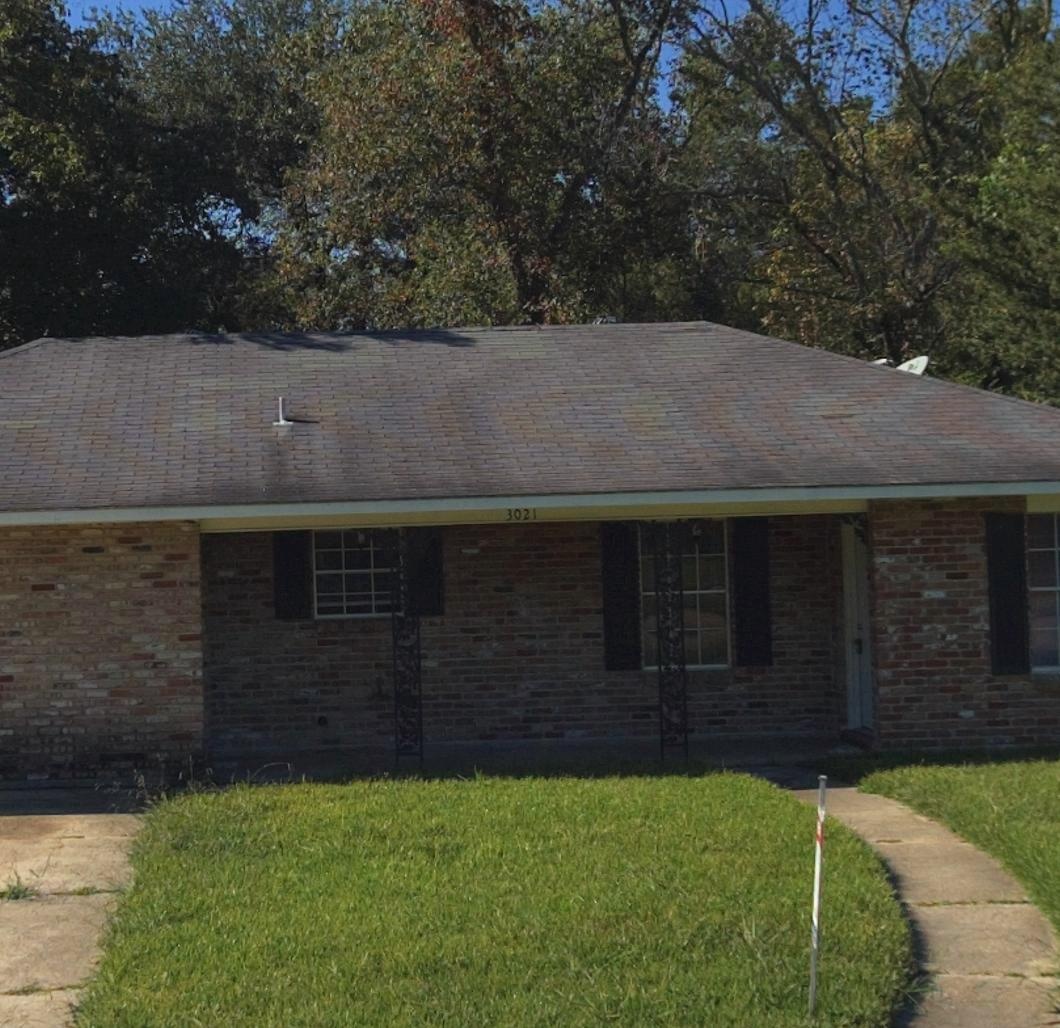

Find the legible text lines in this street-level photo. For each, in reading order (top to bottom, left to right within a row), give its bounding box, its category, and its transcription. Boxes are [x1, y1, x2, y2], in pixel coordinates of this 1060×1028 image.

[506, 508, 537, 521] StreetNumber: 3021